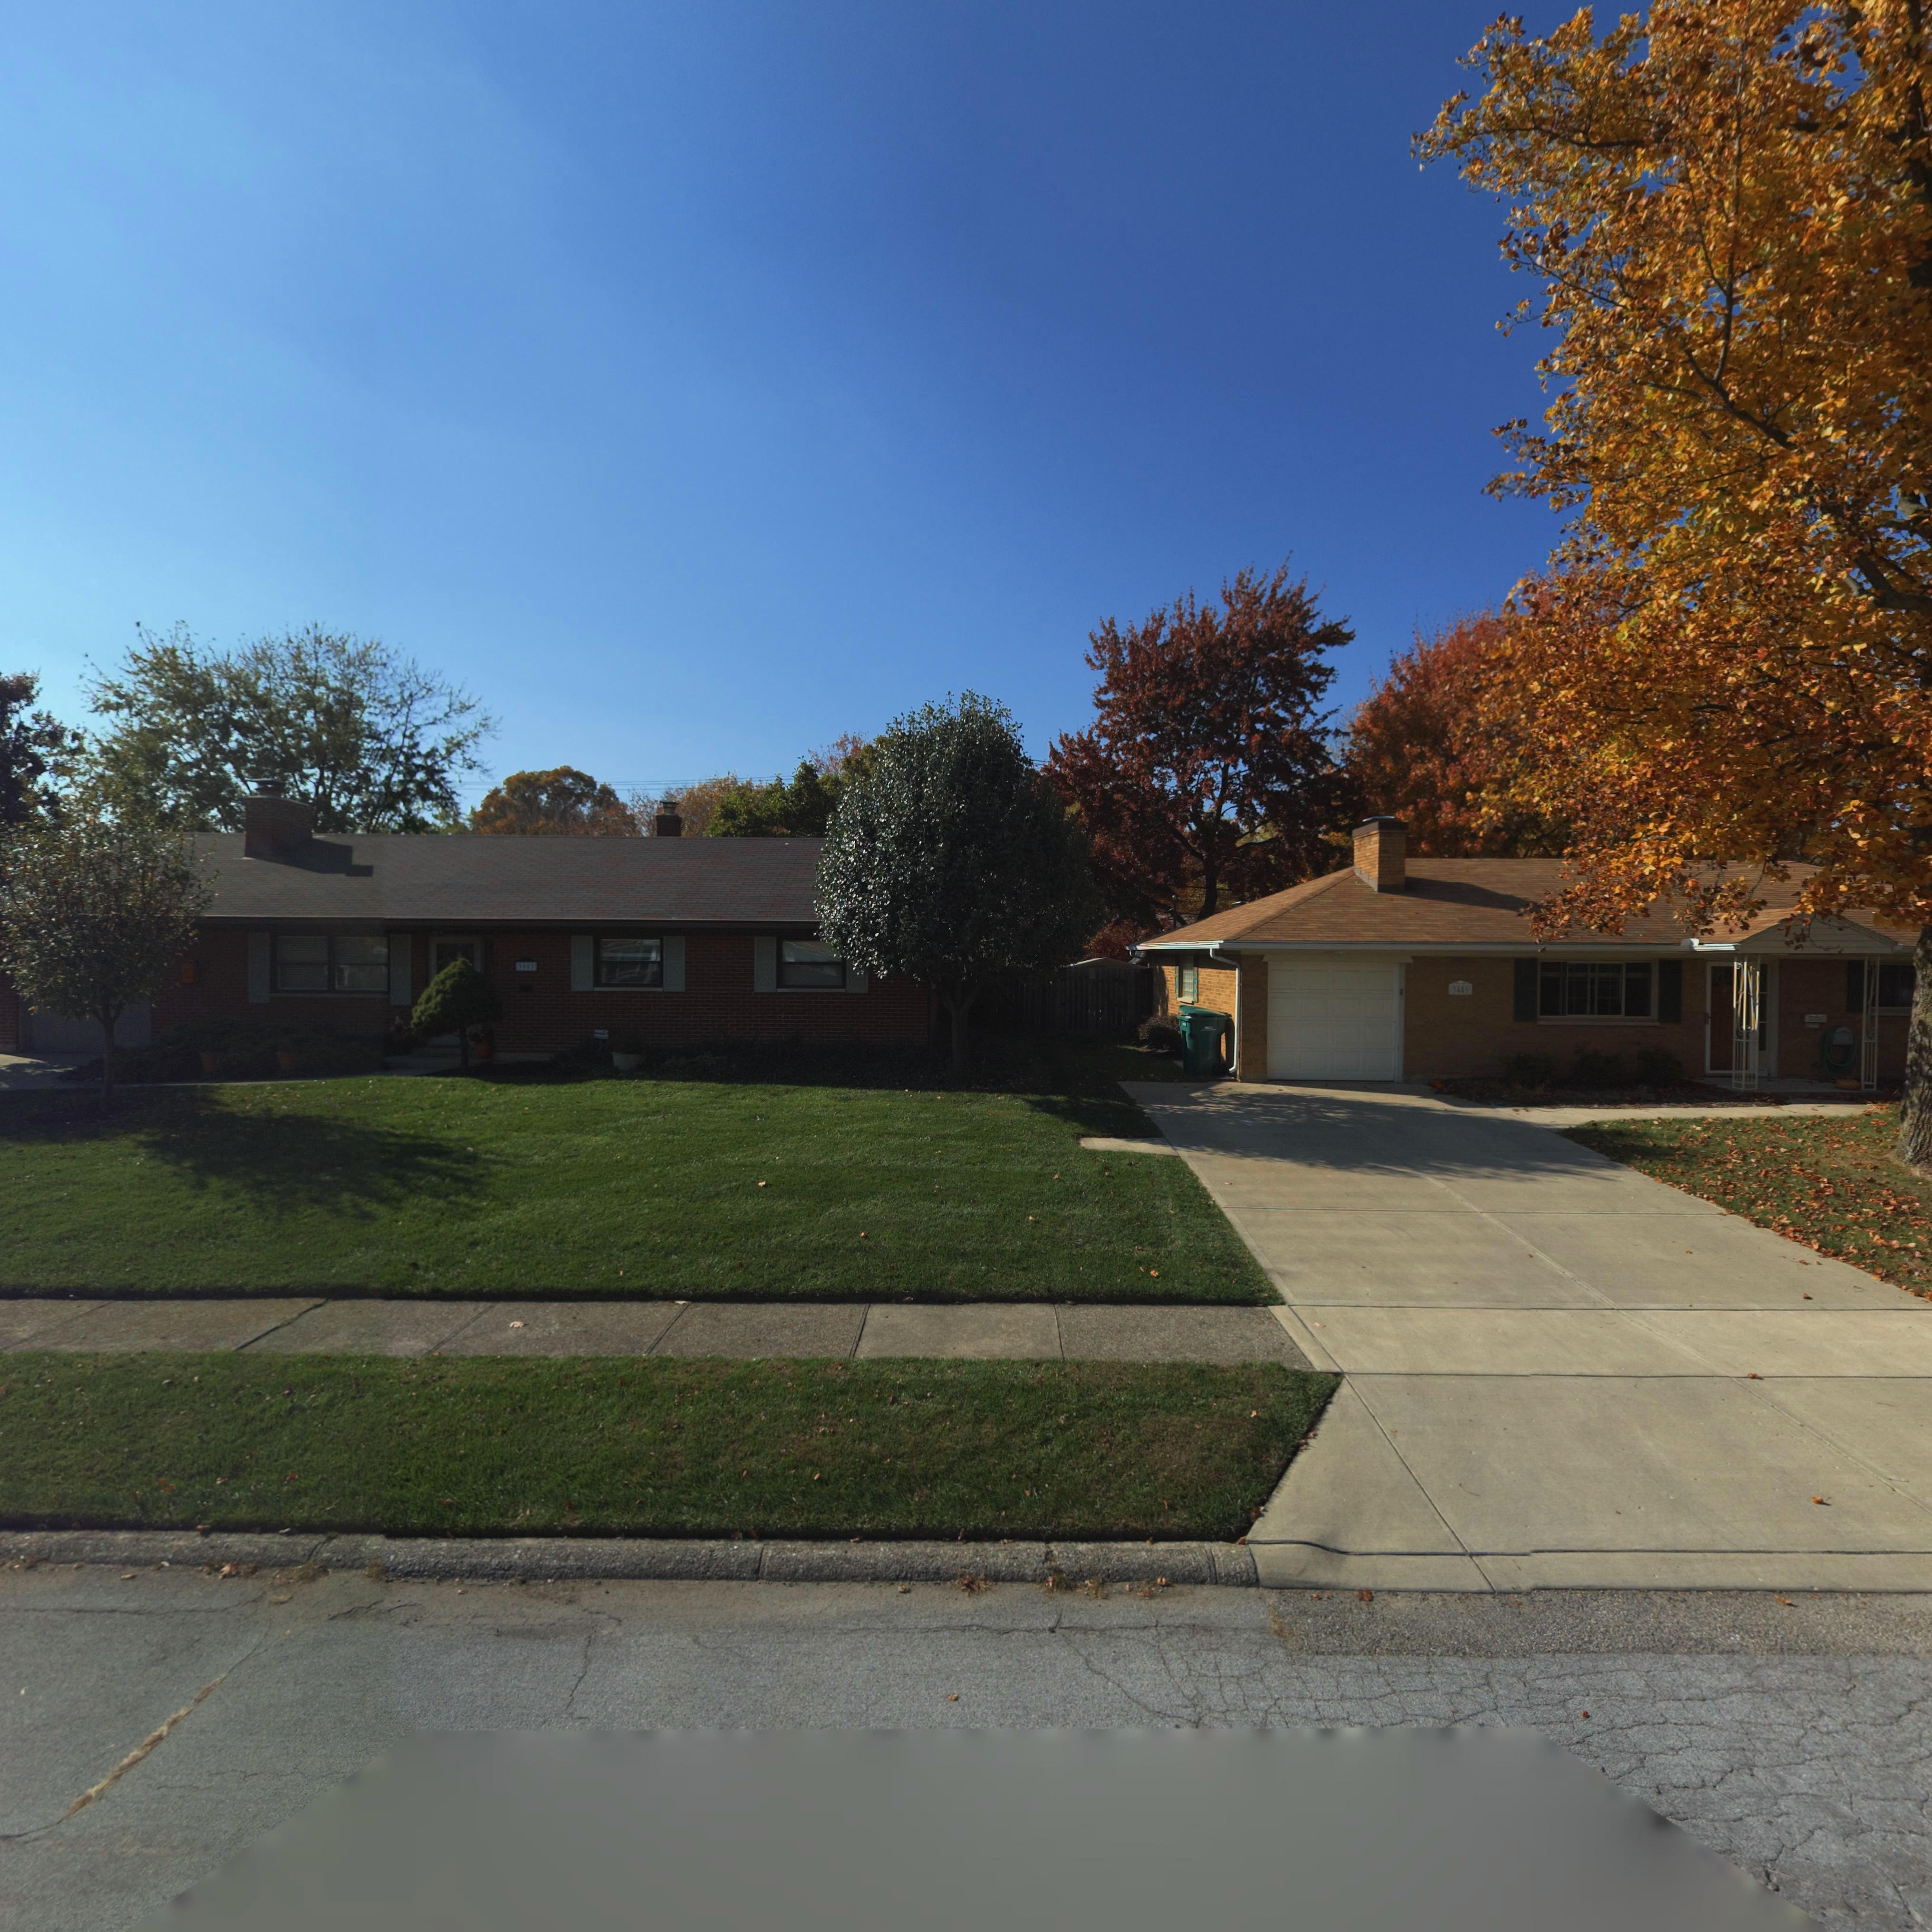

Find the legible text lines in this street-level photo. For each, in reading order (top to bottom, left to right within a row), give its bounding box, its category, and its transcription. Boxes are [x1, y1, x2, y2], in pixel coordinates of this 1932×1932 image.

[1452, 985, 1468, 992] StreetNumber: 3889